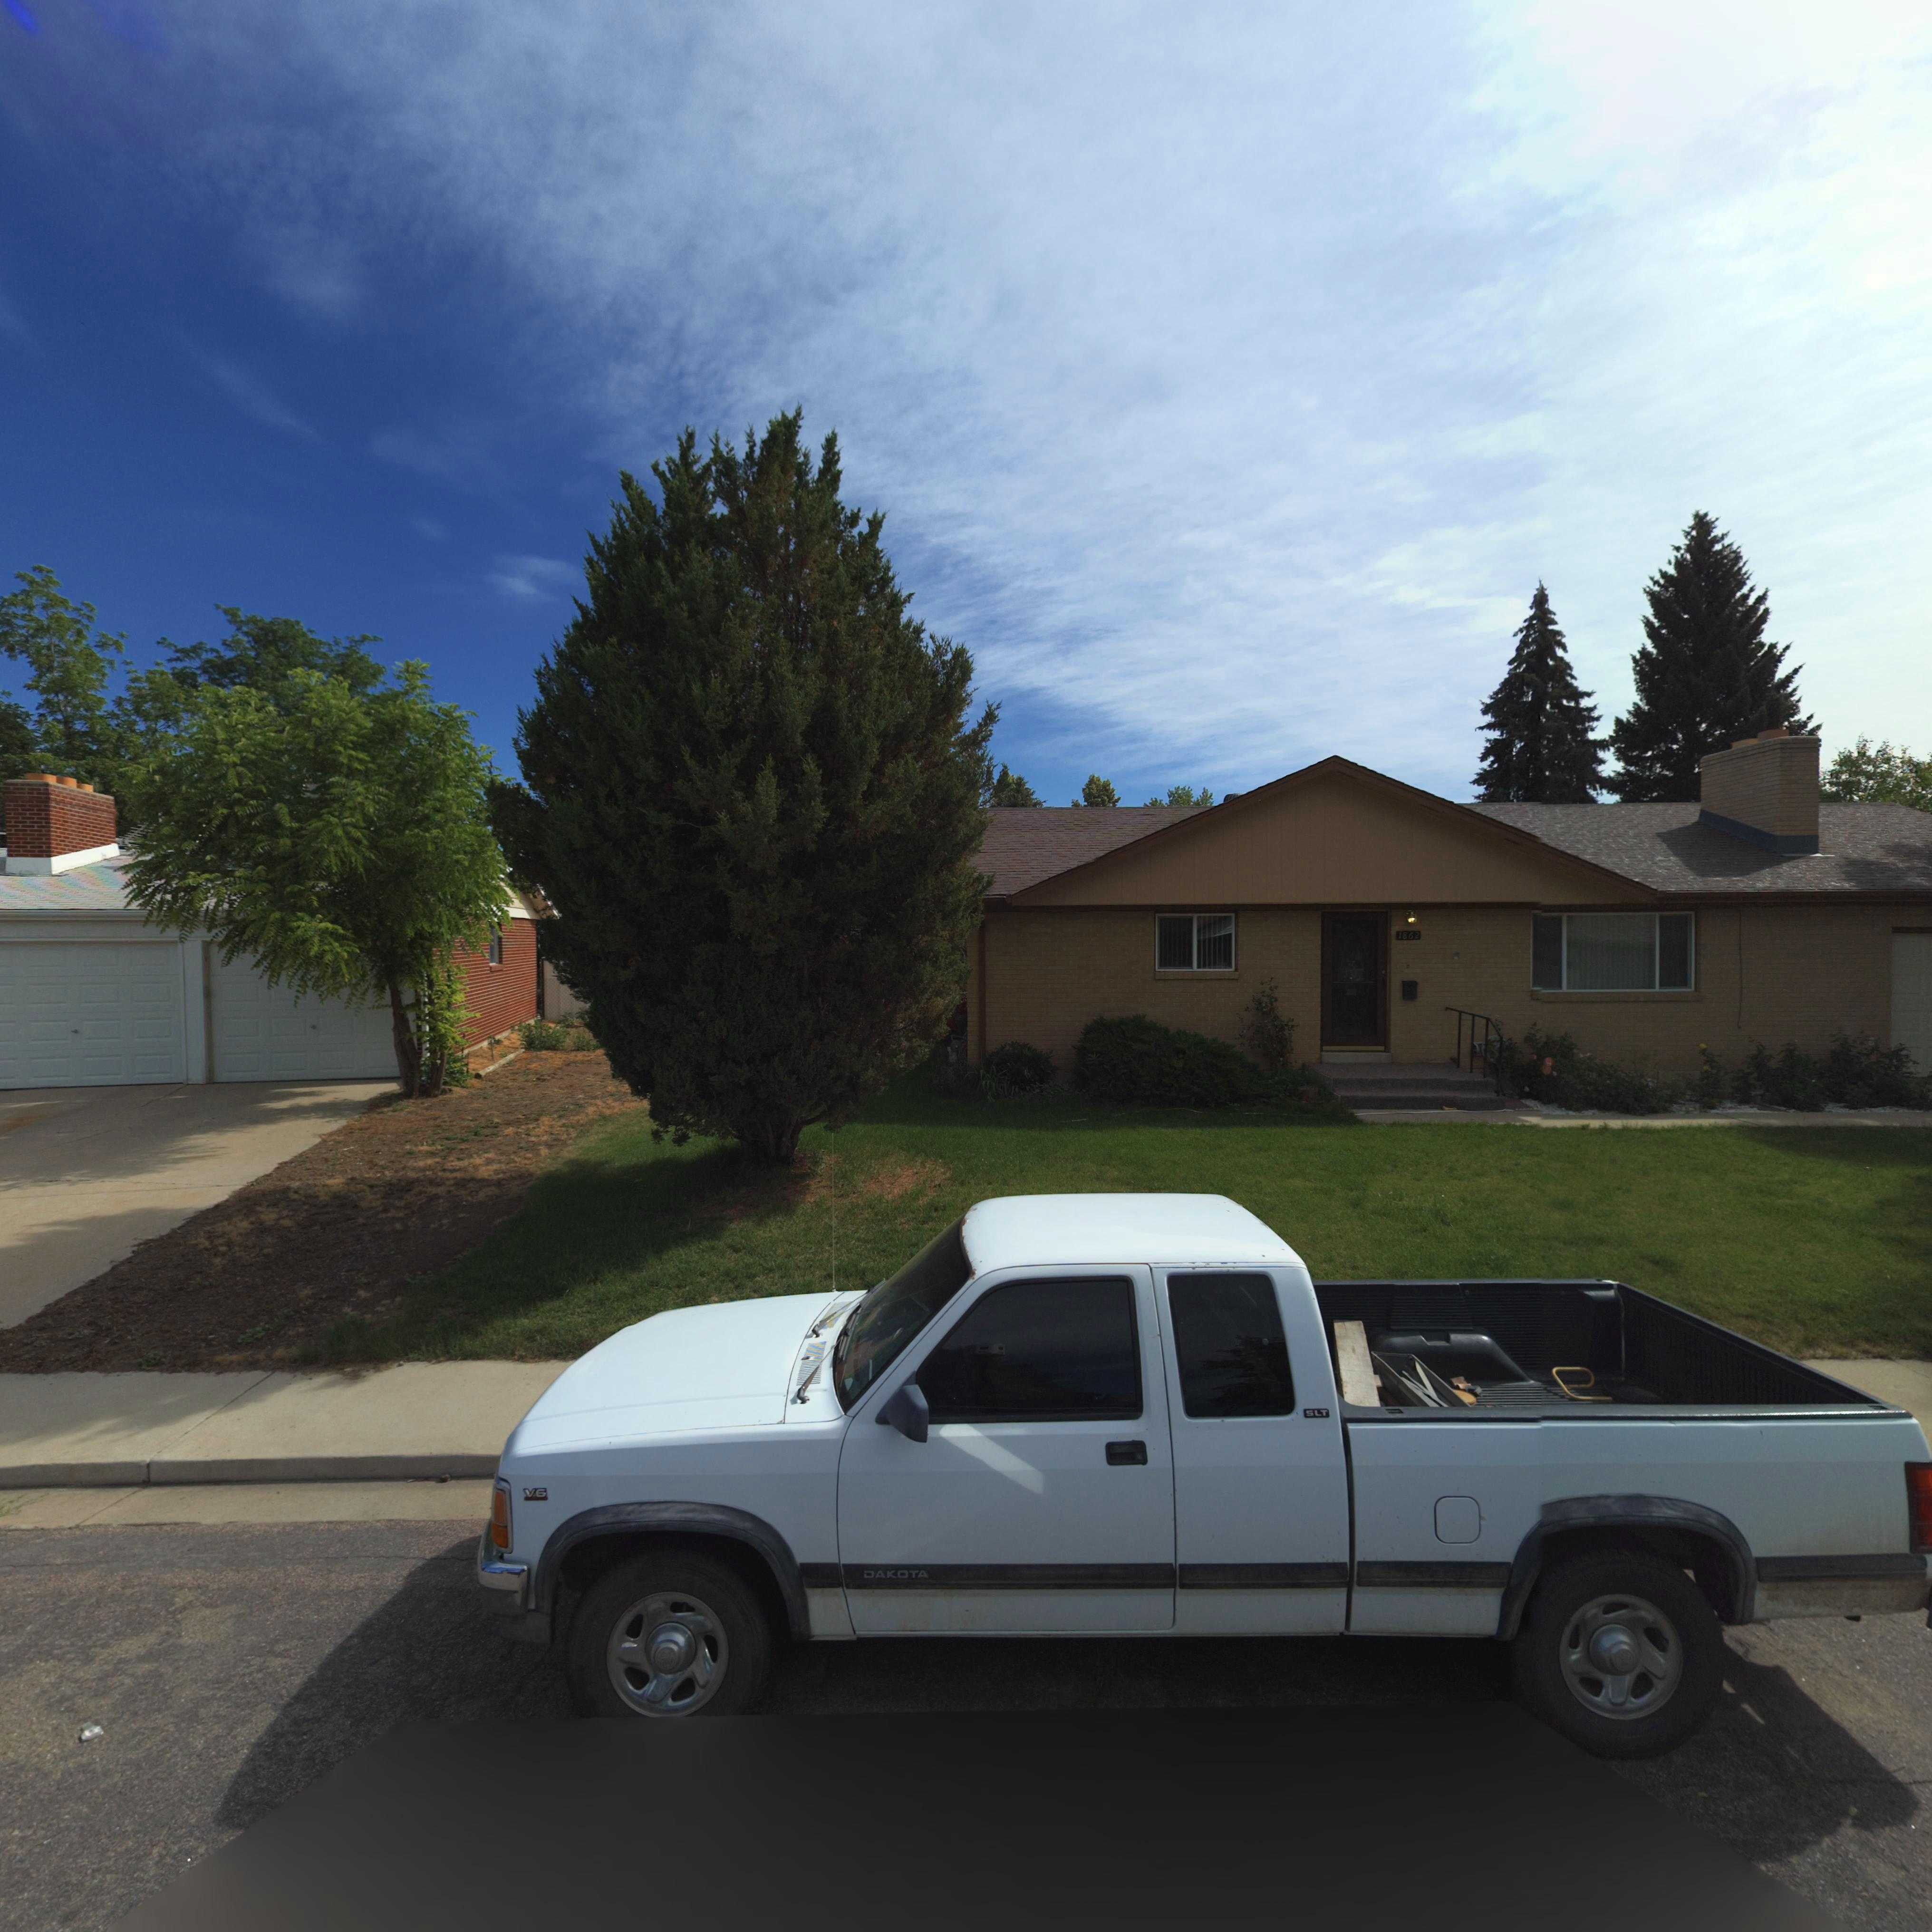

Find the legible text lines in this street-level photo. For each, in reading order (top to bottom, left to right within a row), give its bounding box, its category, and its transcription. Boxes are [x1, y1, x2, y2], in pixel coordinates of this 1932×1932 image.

[1398, 931, 1420, 940] StreetNumber: 1862